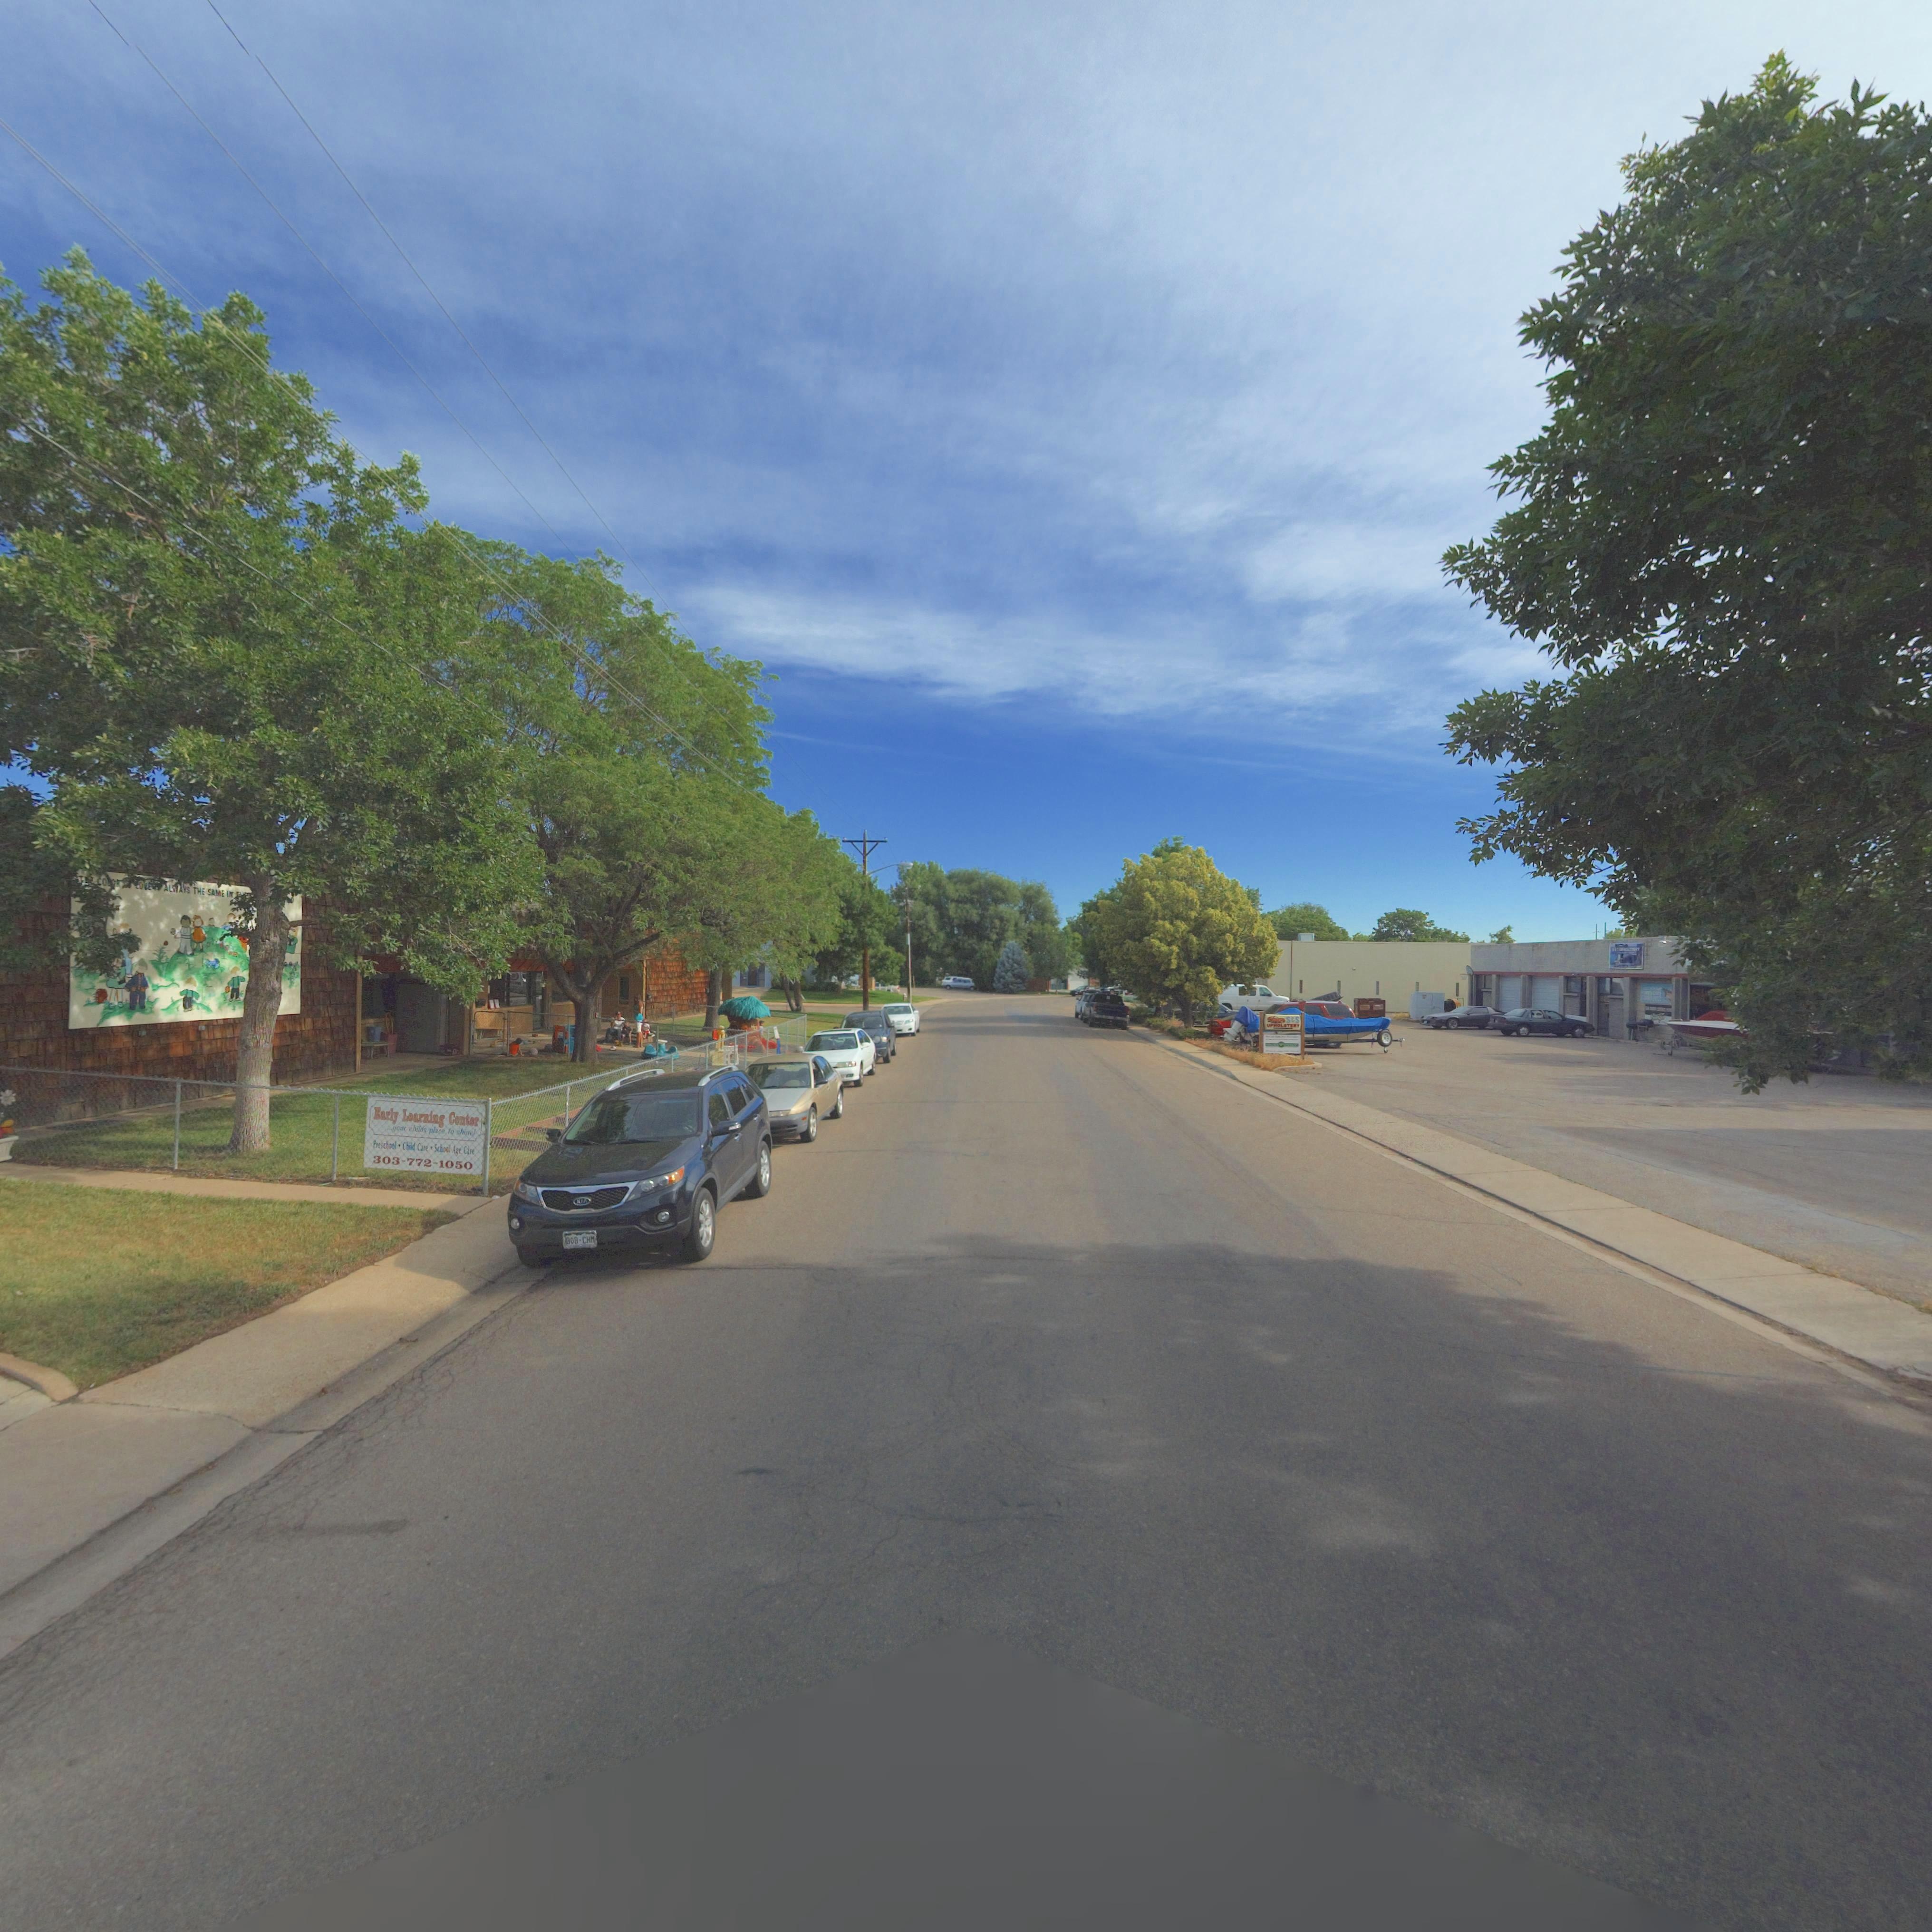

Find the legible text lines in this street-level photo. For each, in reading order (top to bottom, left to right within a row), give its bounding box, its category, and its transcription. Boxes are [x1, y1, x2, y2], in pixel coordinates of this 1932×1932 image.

[1612, 947, 1640, 951] BusinessName: * * * ********RY
[1285, 1016, 1300, 1024] BusinessName: S * S
[1266, 1024, 1300, 1027] BusinessName: UPHOLSTERY